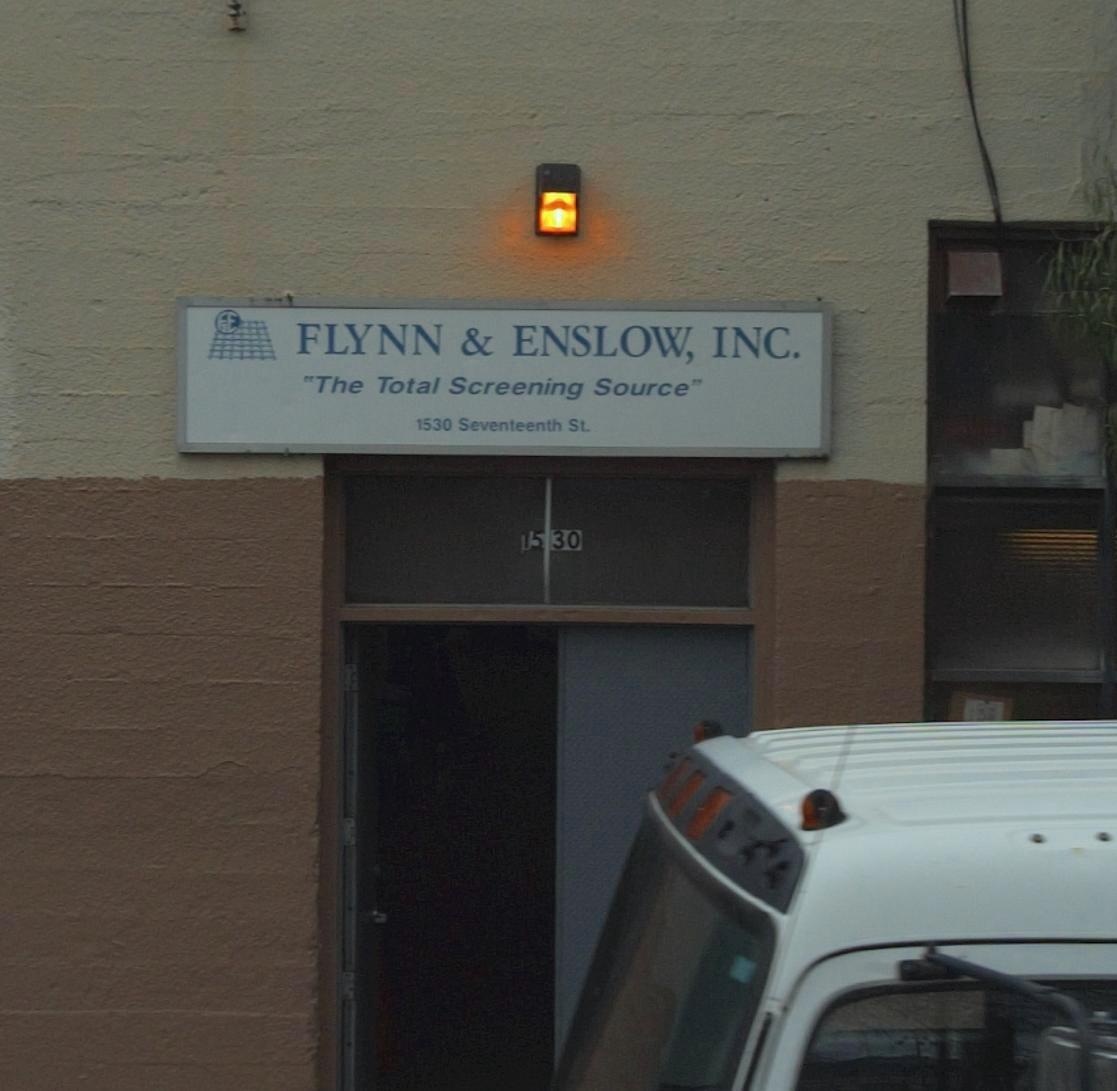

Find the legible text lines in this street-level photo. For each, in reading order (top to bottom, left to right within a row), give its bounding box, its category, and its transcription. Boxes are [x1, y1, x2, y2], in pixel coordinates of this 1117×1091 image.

[296, 322, 802, 360] BusinessName: FLYNN & ENSLOW, INC.
[302, 374, 706, 403] None: "The Total Screening Source"
[415, 416, 453, 431] StreetNumber: 1530
[456, 416, 591, 433] StreetName: Seventeenth St.
[519, 530, 583, 551] StreetNumber: 15*30